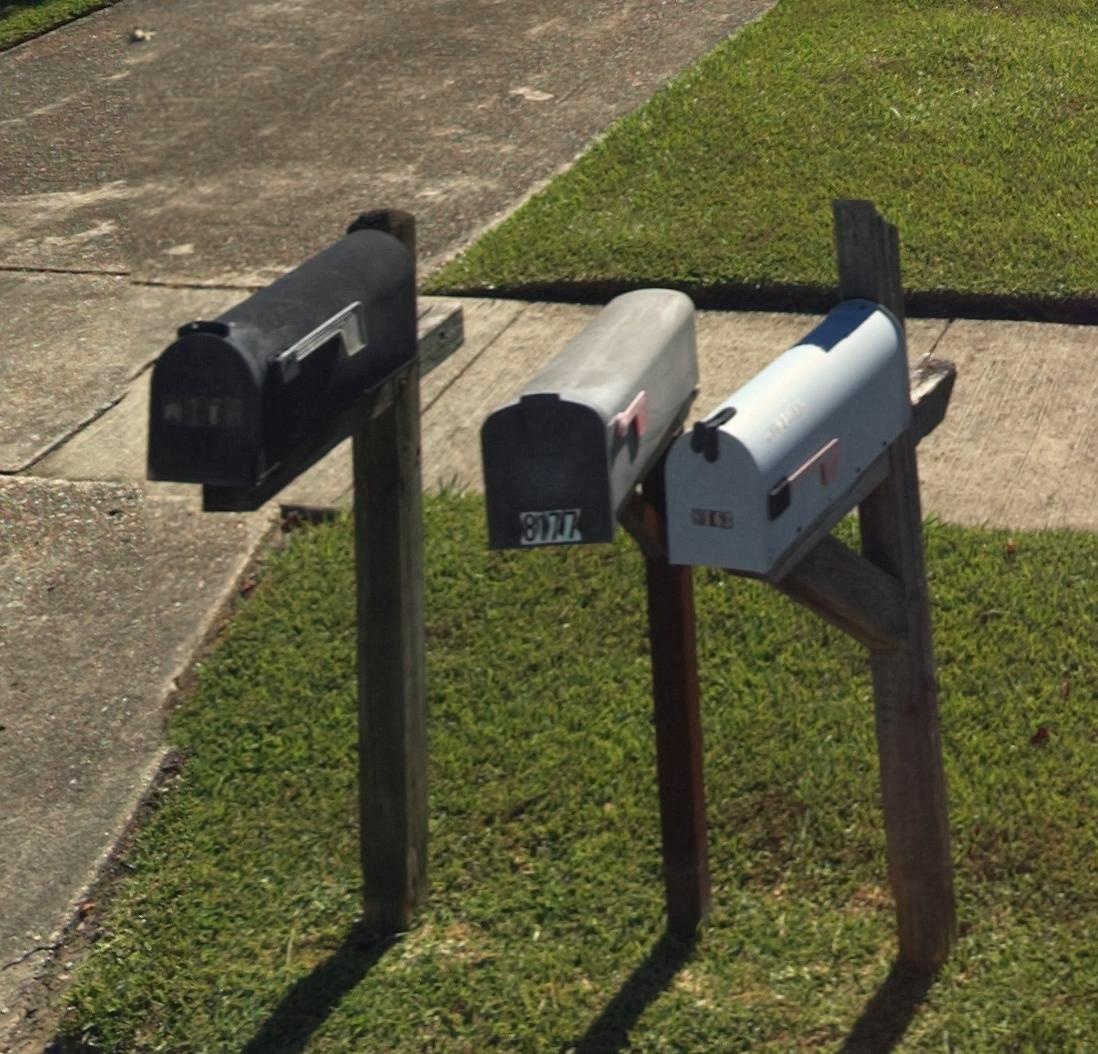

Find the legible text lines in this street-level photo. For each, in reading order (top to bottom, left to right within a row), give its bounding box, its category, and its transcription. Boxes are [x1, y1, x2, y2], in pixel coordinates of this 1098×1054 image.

[520, 505, 581, 545] StreetNumber: 8177
[689, 505, 737, 532] StreetNumber: 816*